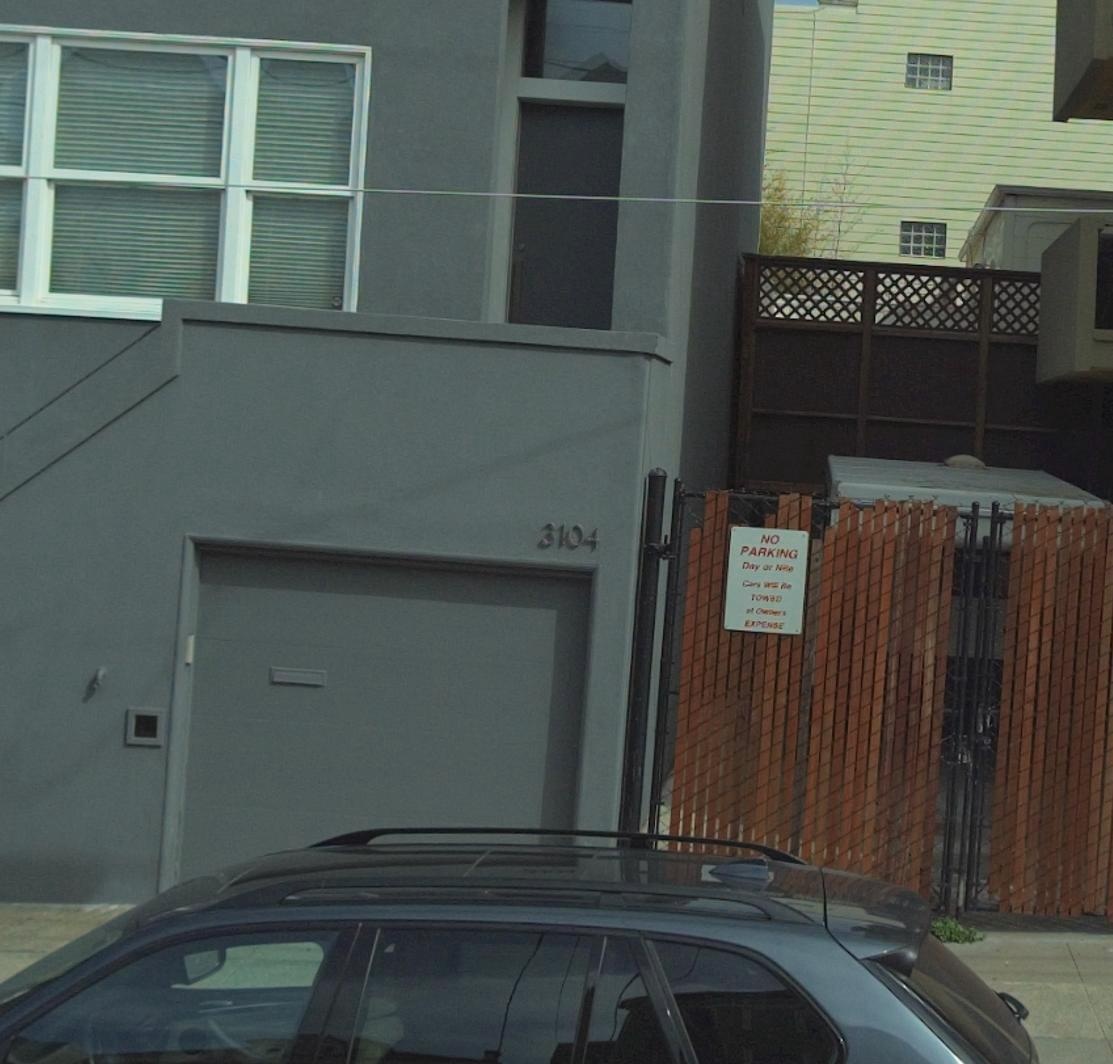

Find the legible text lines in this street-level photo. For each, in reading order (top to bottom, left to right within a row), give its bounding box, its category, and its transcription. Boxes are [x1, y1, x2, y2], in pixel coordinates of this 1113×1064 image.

[537, 520, 602, 553] StreetNumber: 3104
[757, 531, 783, 548] None: NO
[737, 543, 801, 562] None: PARKING
[739, 559, 797, 575] None: D*y o* N***
[753, 591, 764, 605] None: O